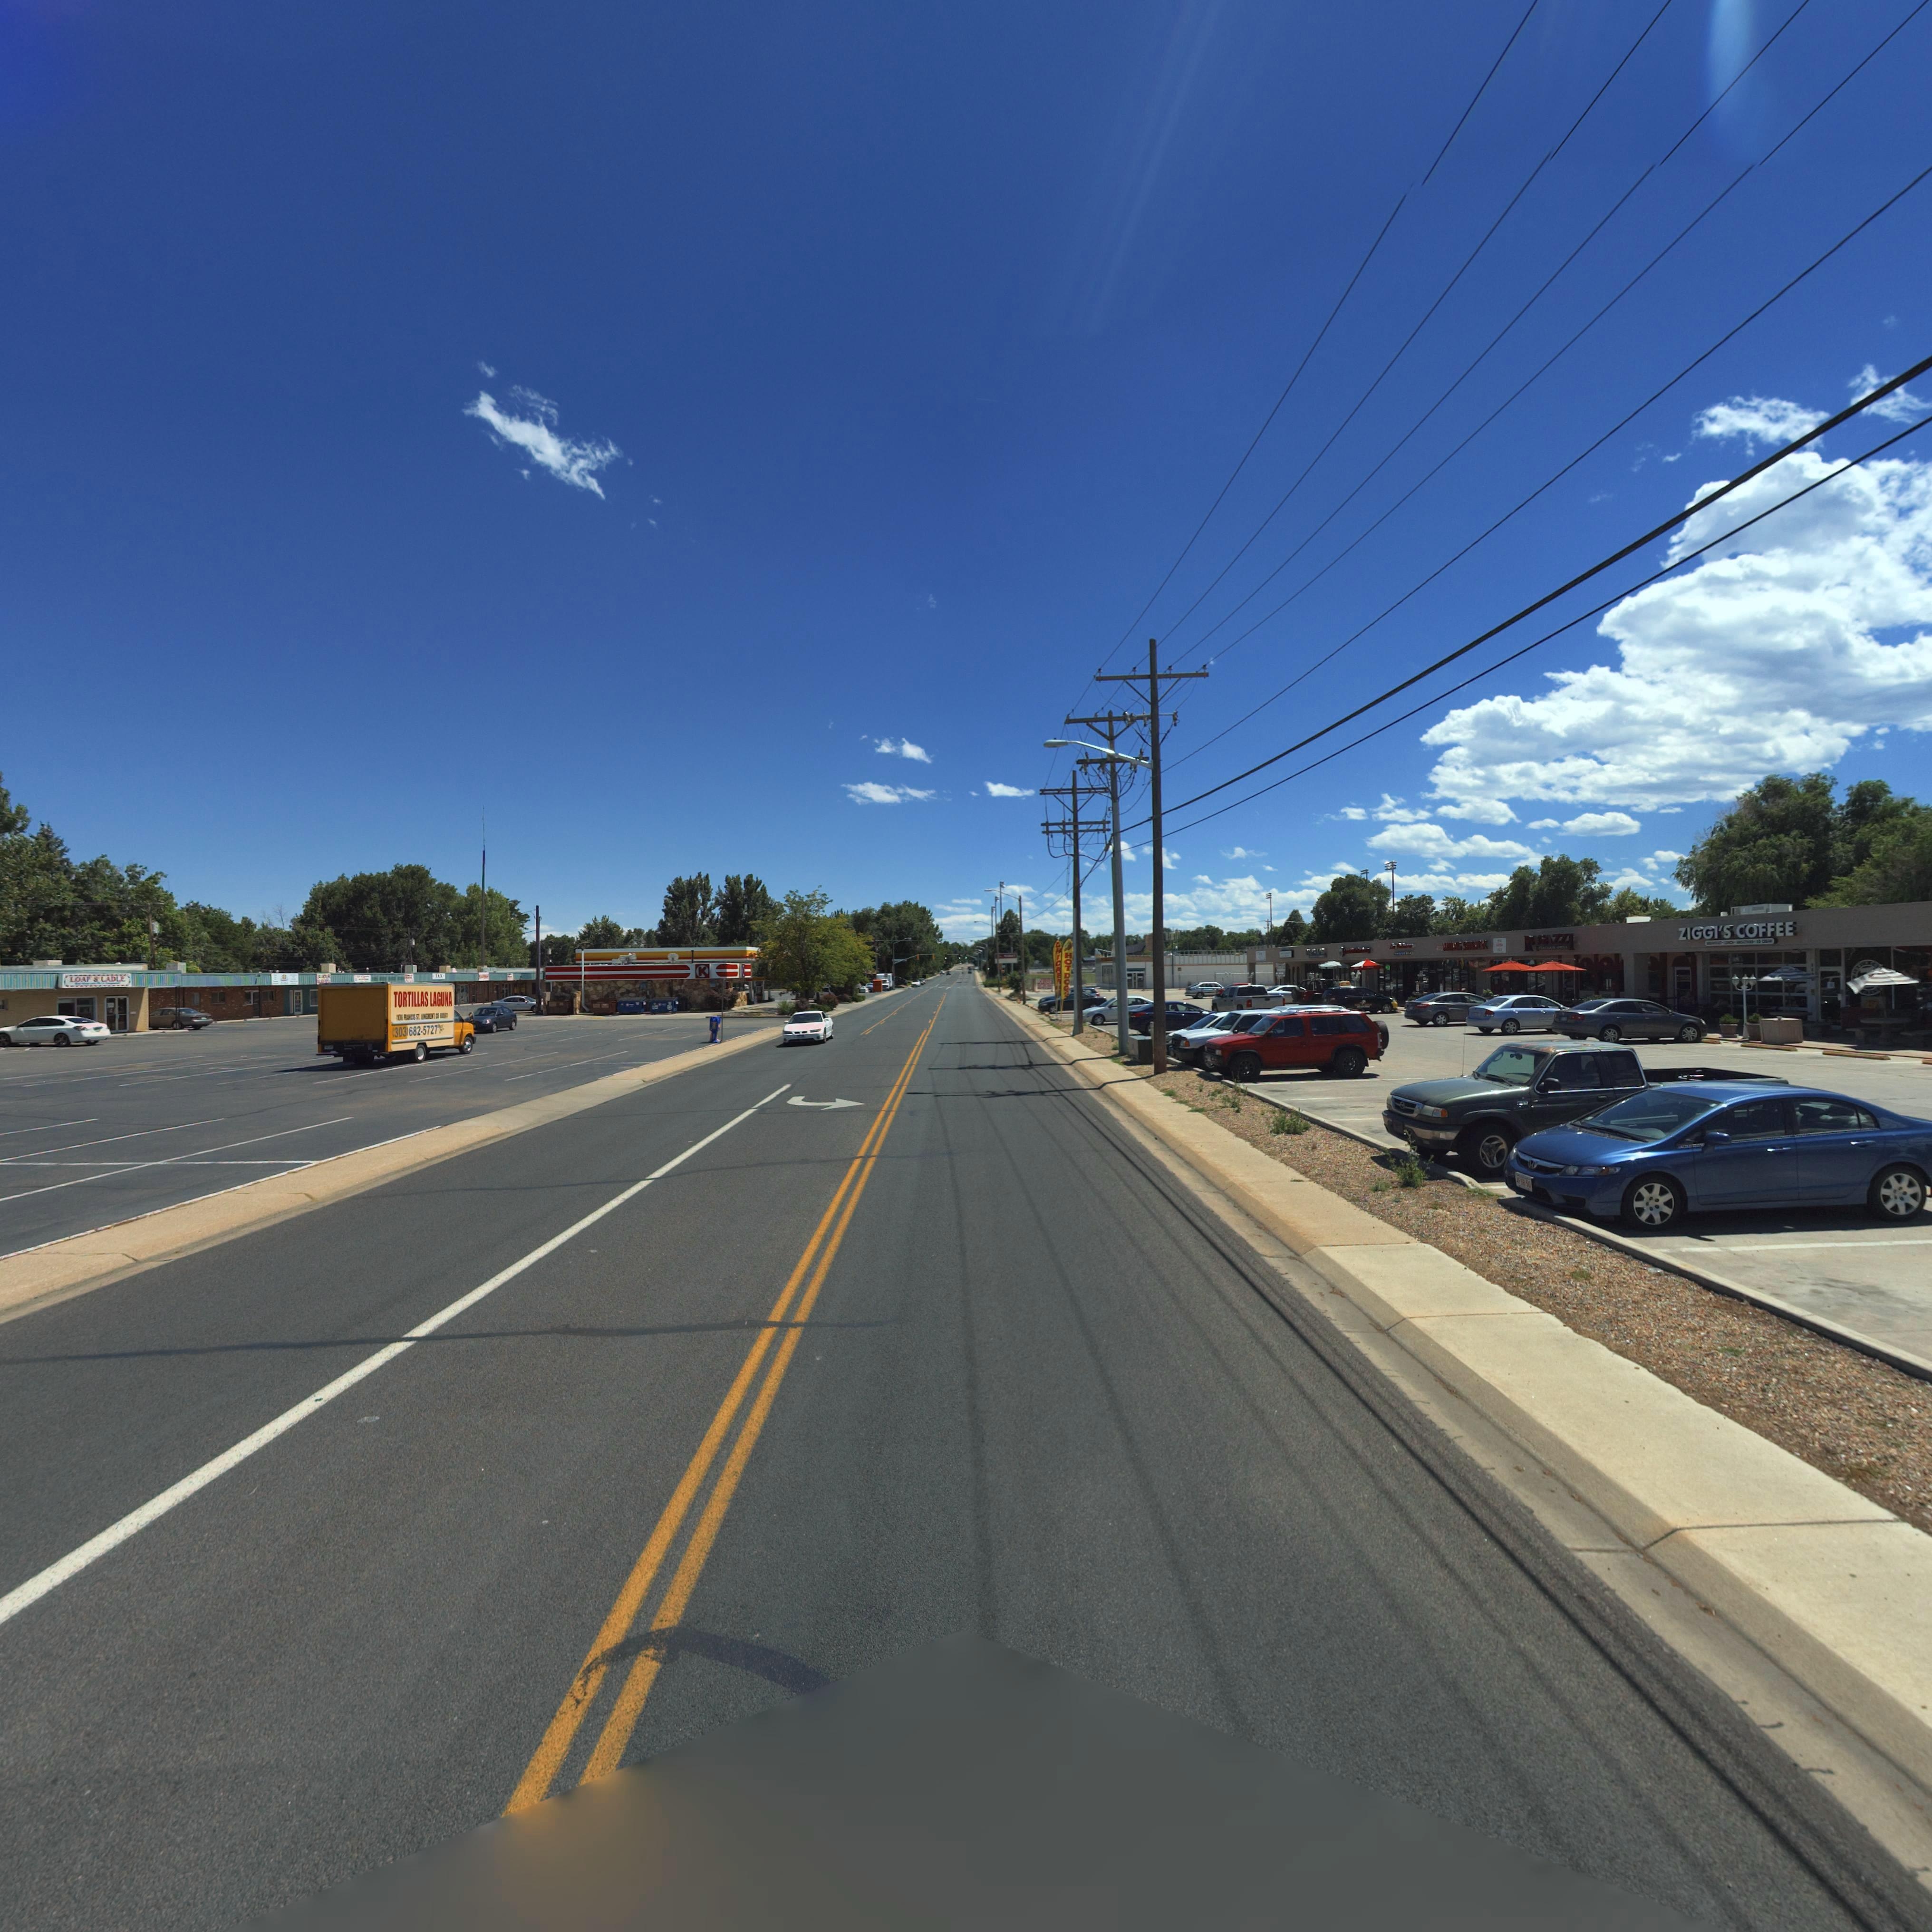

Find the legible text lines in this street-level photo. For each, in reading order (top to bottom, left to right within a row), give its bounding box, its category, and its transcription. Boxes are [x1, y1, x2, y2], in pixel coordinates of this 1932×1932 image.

[1678, 921, 1796, 940] BusinessName: ZIGGI'S COFFEE
[1523, 933, 1575, 951] BusinessName: R***AZZI
[1440, 940, 1488, 951] BusinessName: W**G S******K
[1538, 946, 1567, 949] BusinessName: *TA**** ***LL
[69, 976, 125, 982] BusinessName: LOAF & LADLE
[396, 1014, 403, 1020] StreetNumber: **3*
[403, 1014, 420, 1020] StreetName: F****** S*